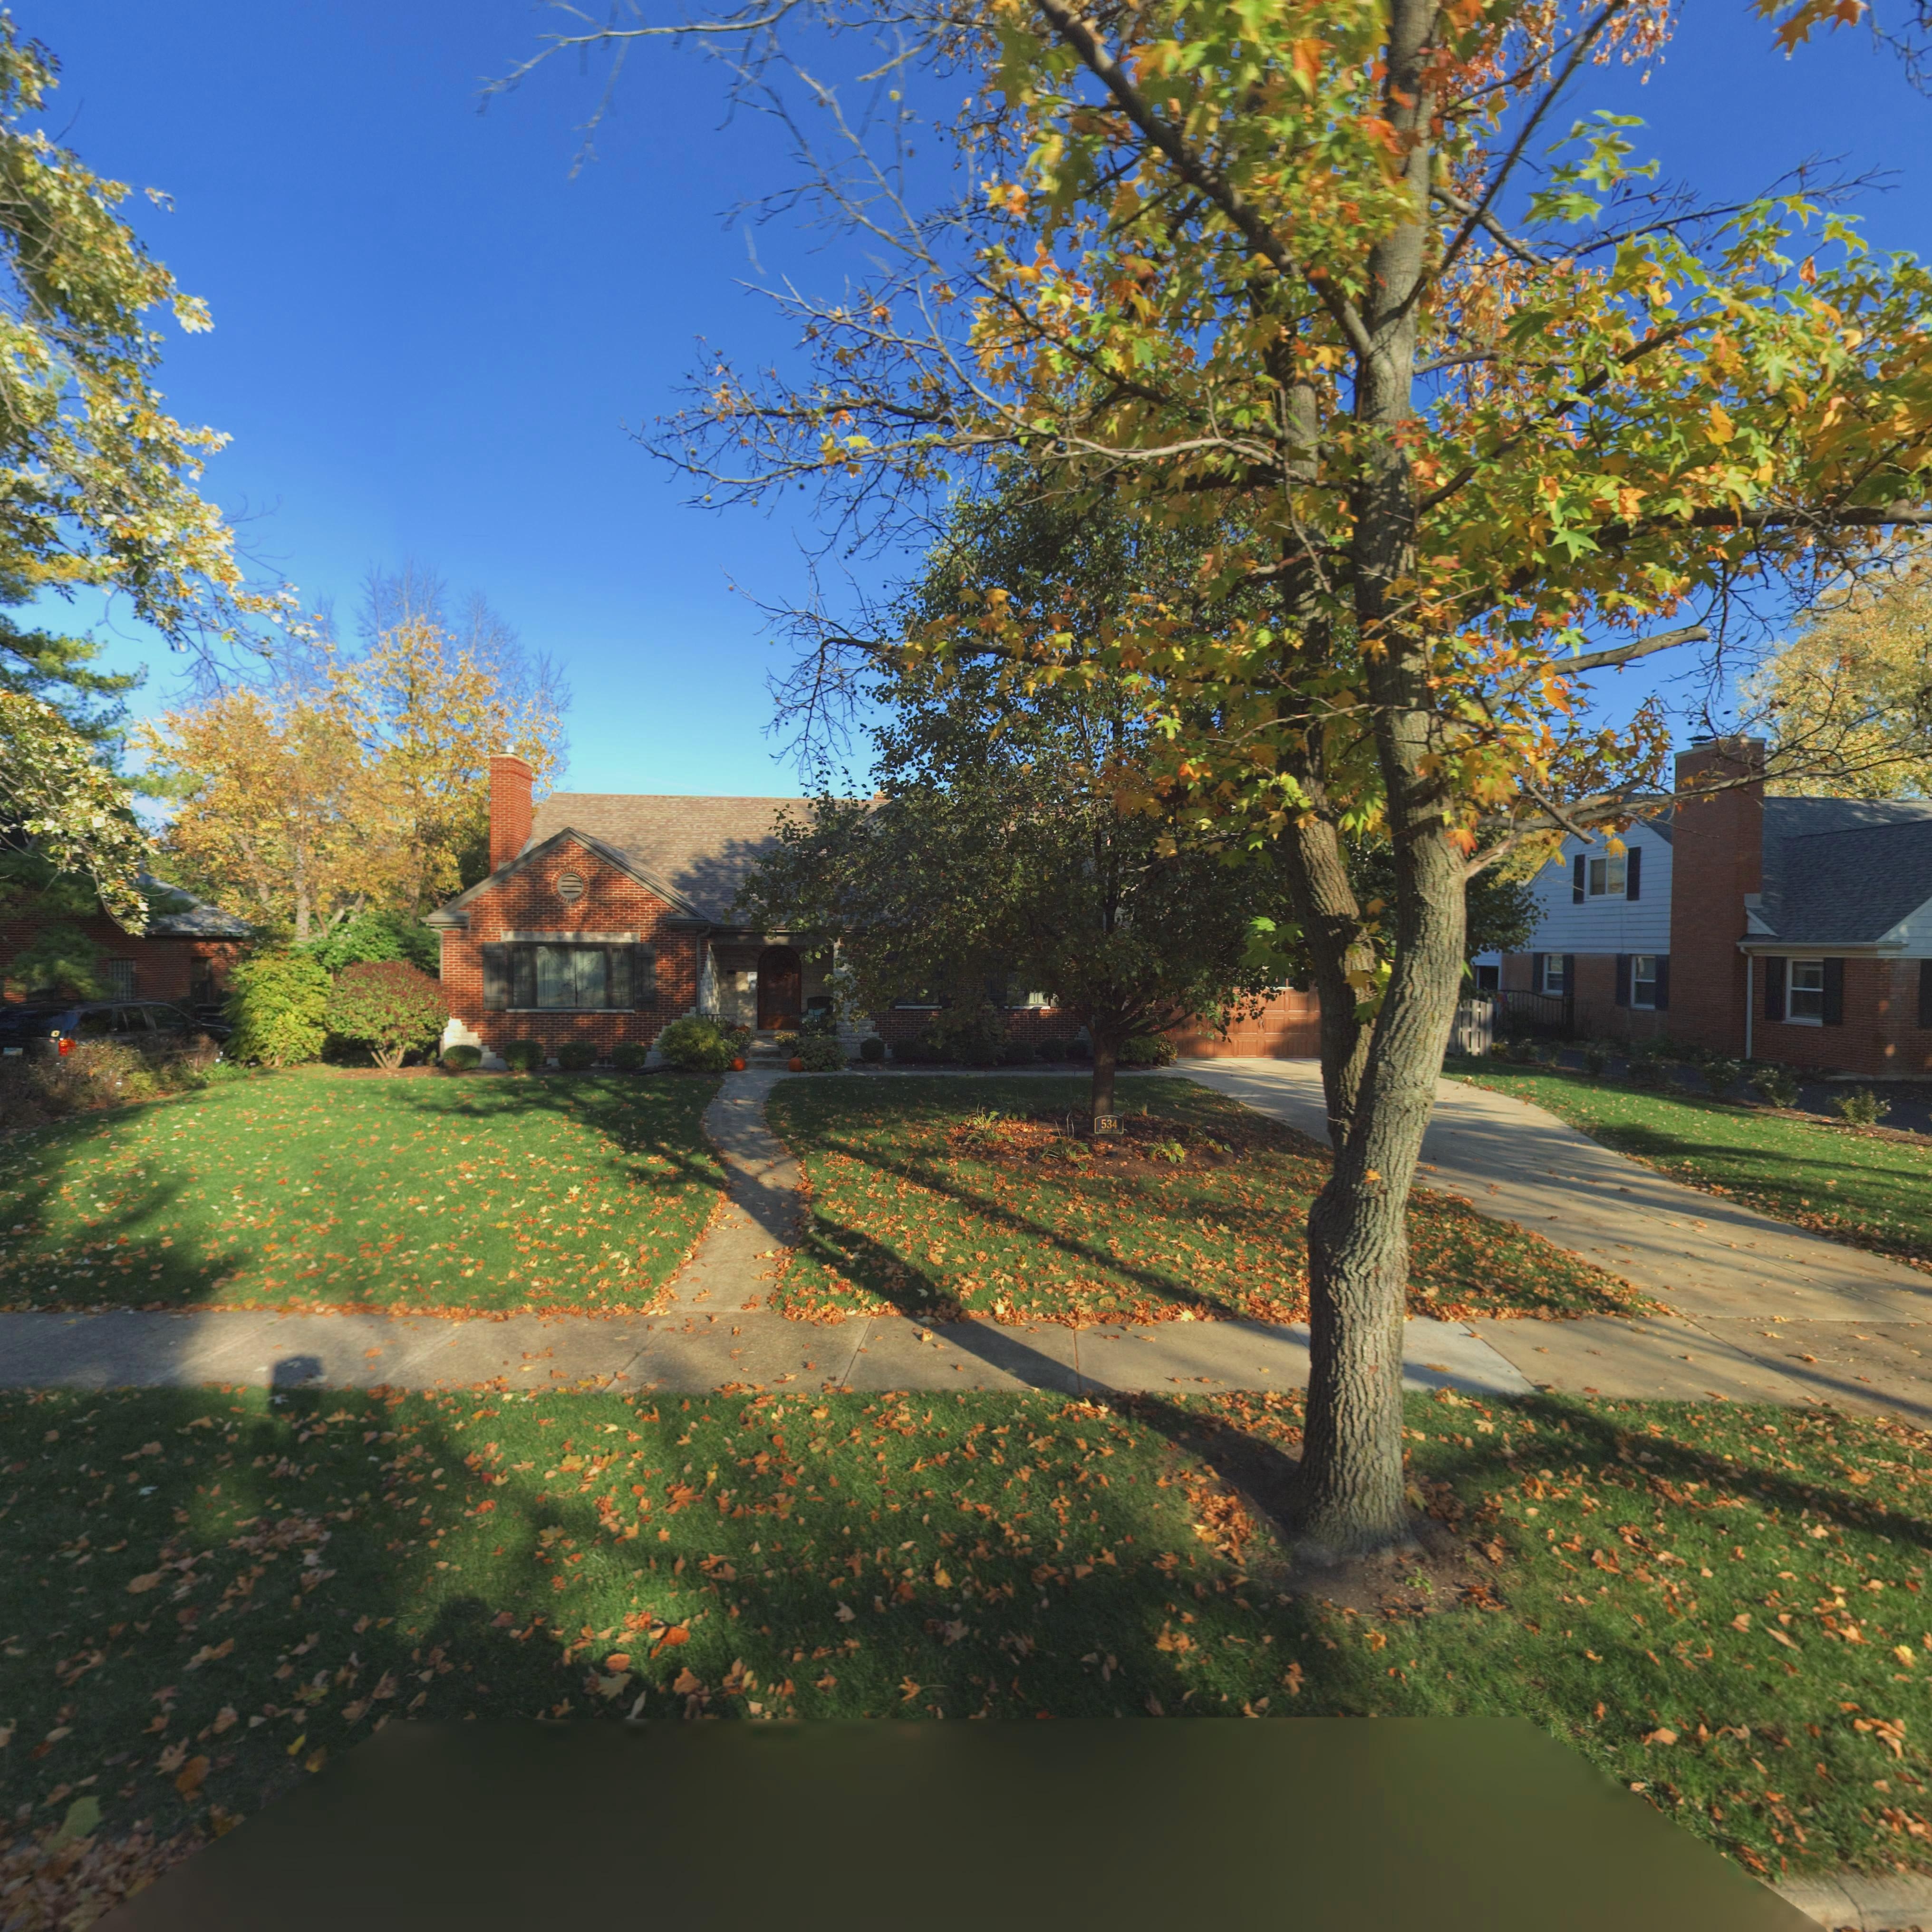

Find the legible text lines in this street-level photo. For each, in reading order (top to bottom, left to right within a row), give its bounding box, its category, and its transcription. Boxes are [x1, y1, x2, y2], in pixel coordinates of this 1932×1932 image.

[1101, 1119, 1118, 1129] StreetNumber: 534